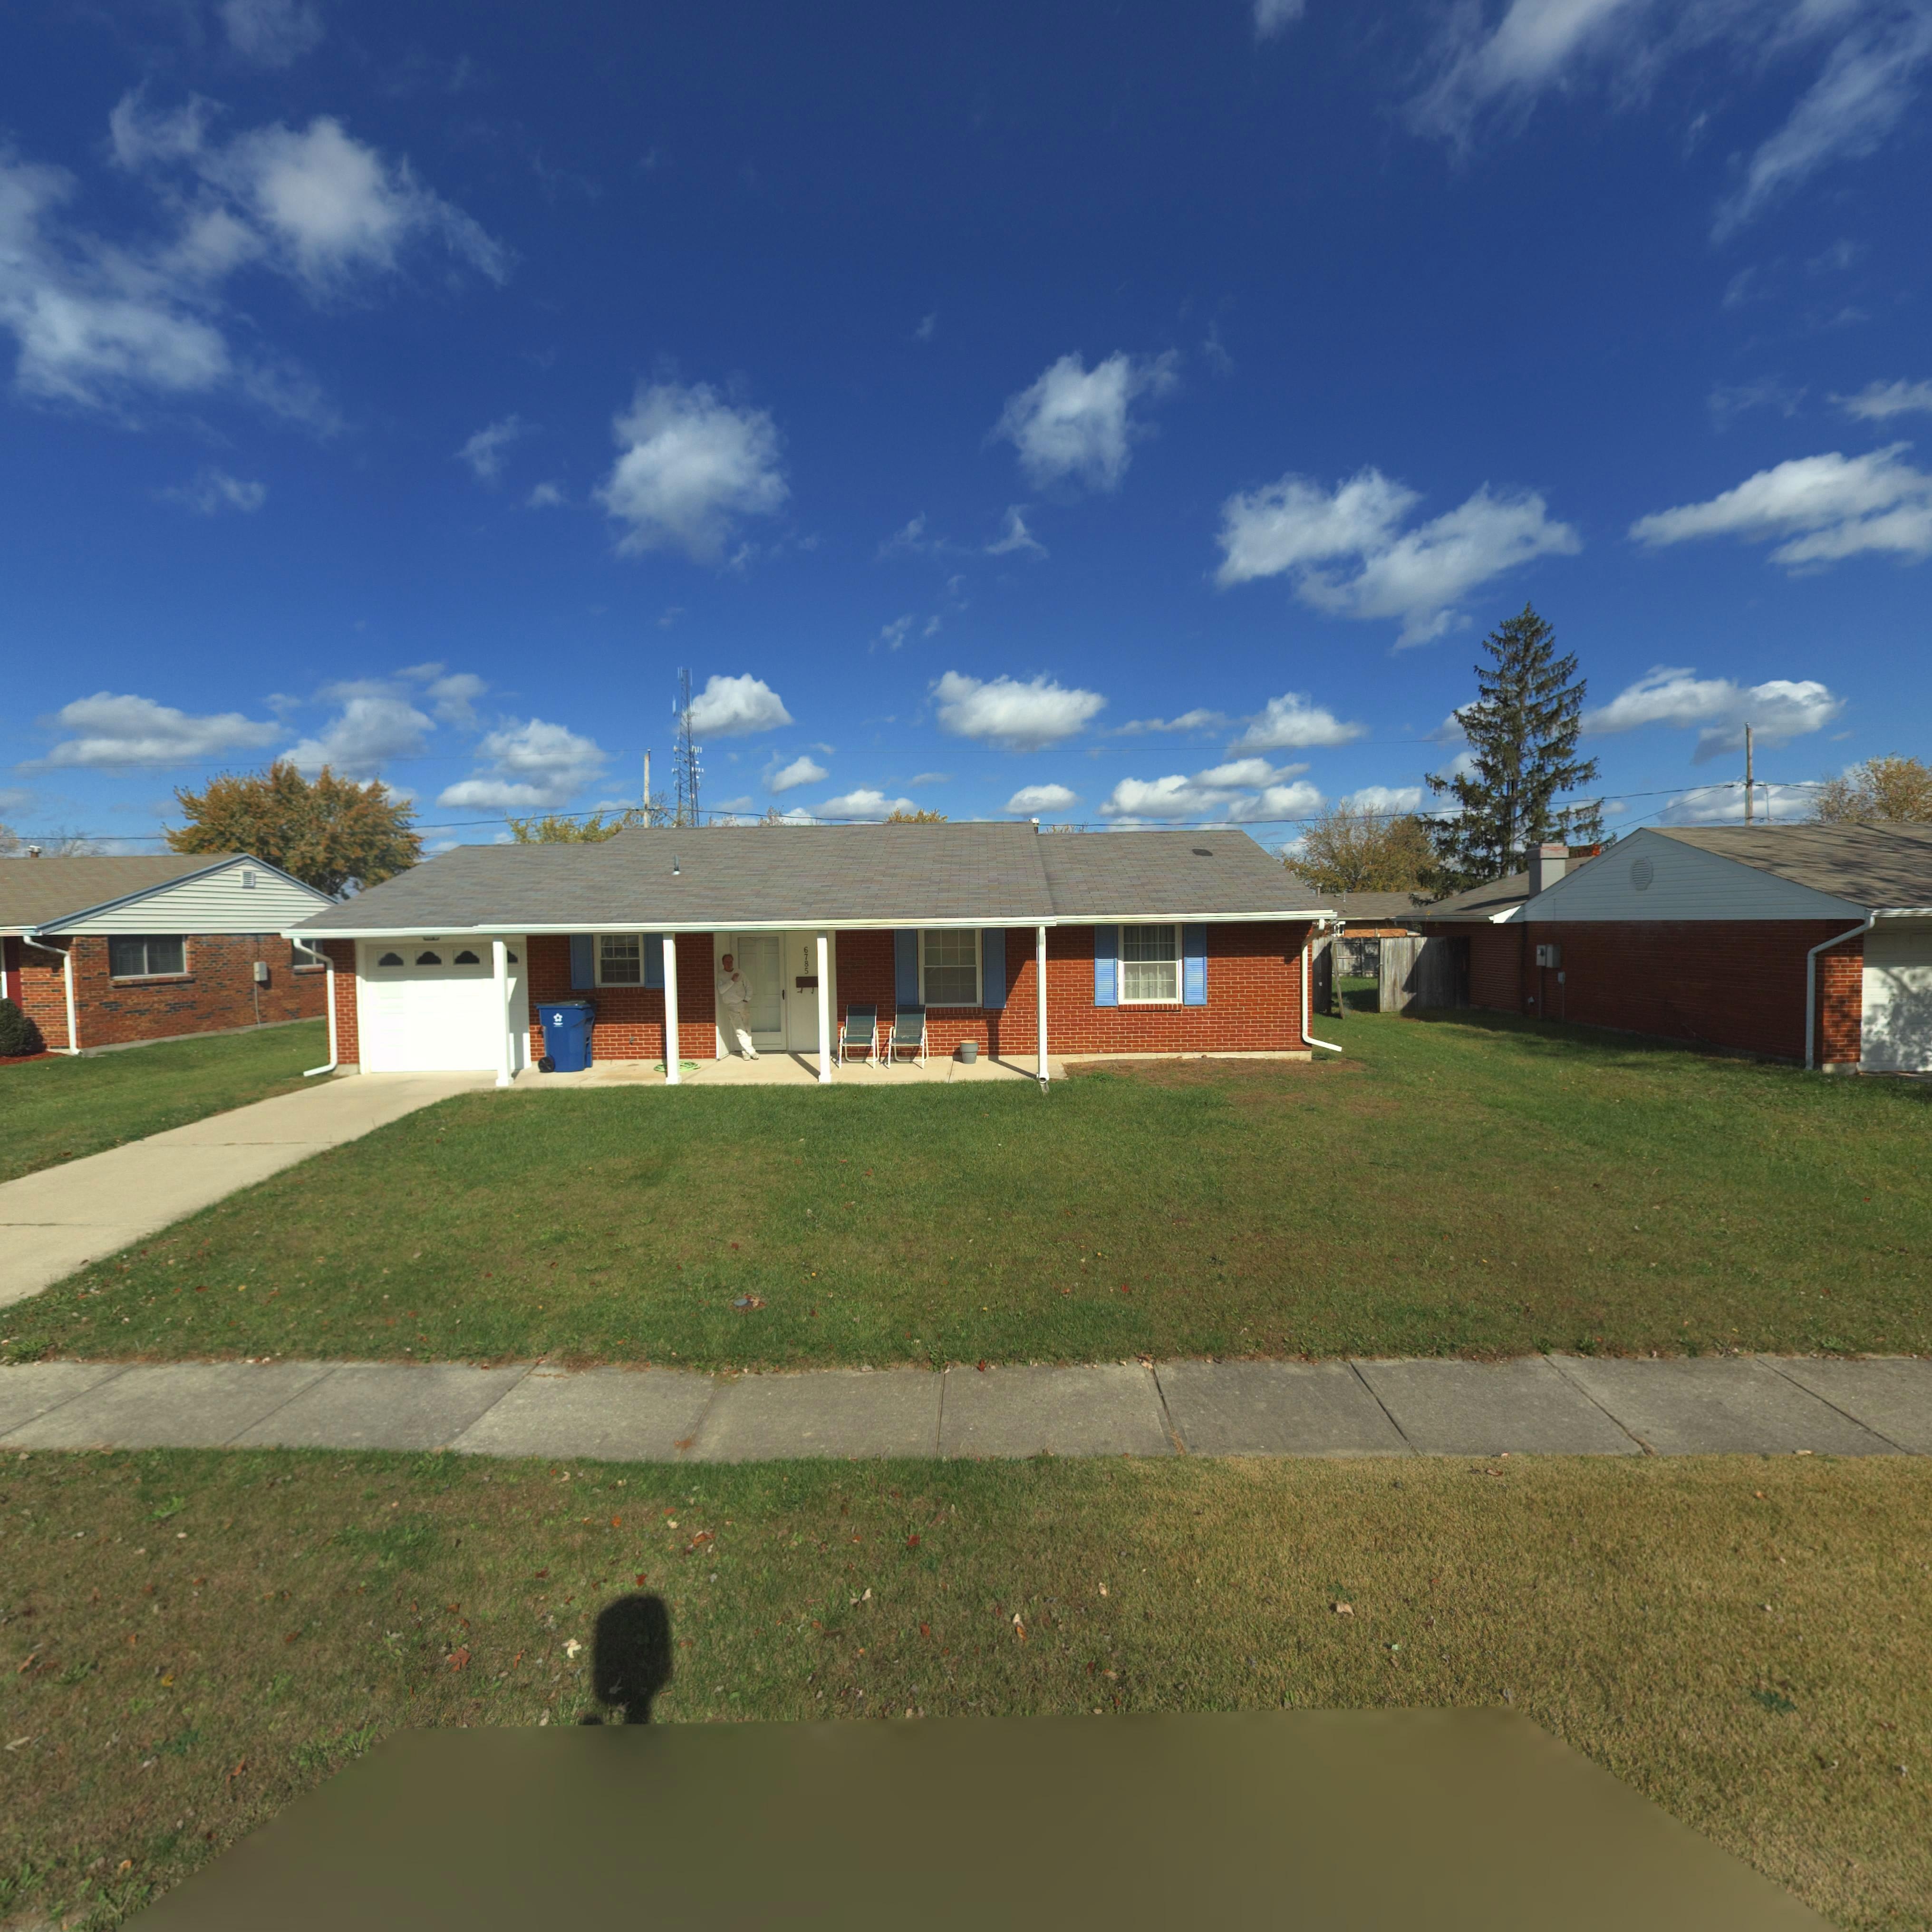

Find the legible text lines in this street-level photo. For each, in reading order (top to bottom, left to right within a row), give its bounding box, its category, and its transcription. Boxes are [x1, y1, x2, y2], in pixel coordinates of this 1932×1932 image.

[803, 946, 809, 975] StreetNumber: 6785